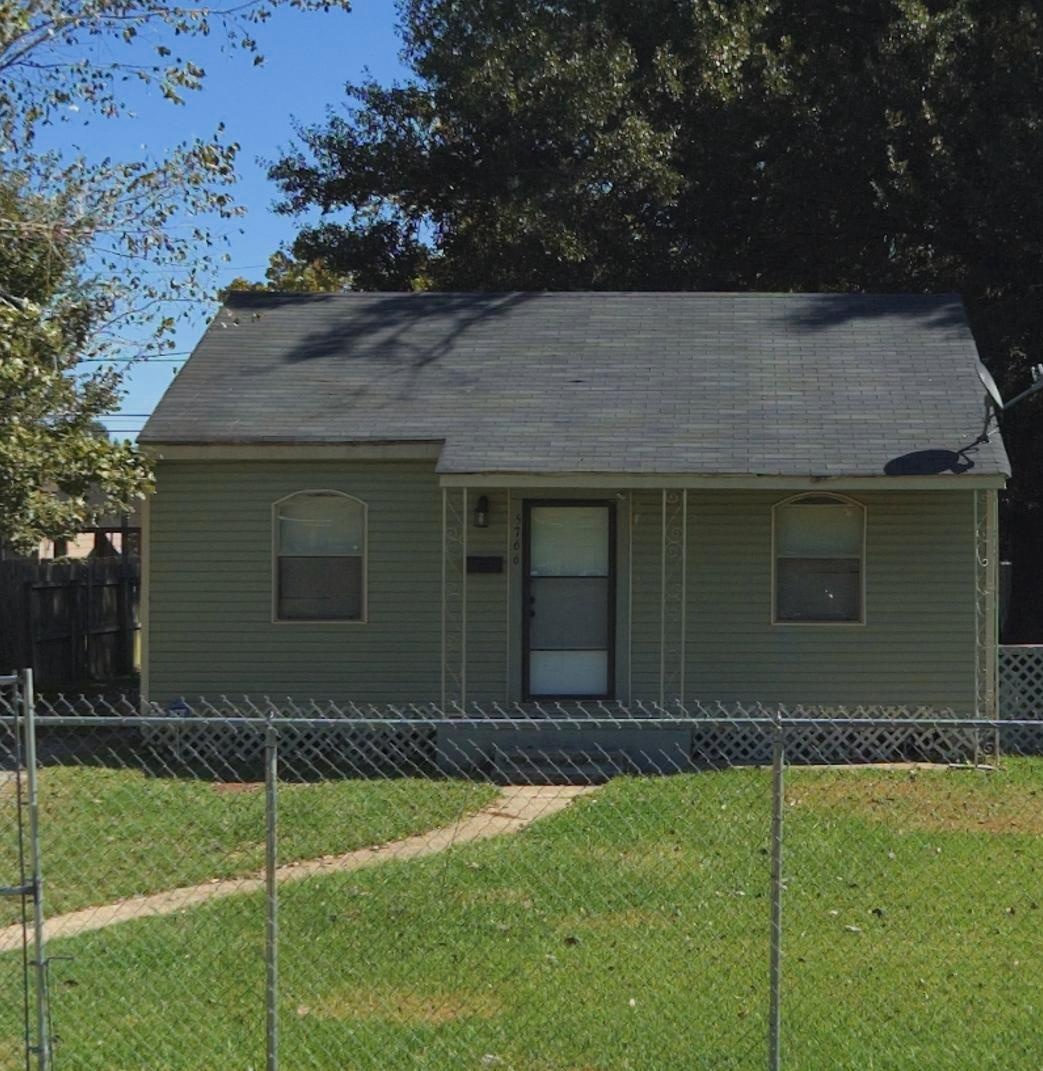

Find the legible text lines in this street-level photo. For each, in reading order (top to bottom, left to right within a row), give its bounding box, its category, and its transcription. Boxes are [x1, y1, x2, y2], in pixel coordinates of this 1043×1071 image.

[512, 513, 523, 566] StreetNumber: 5766